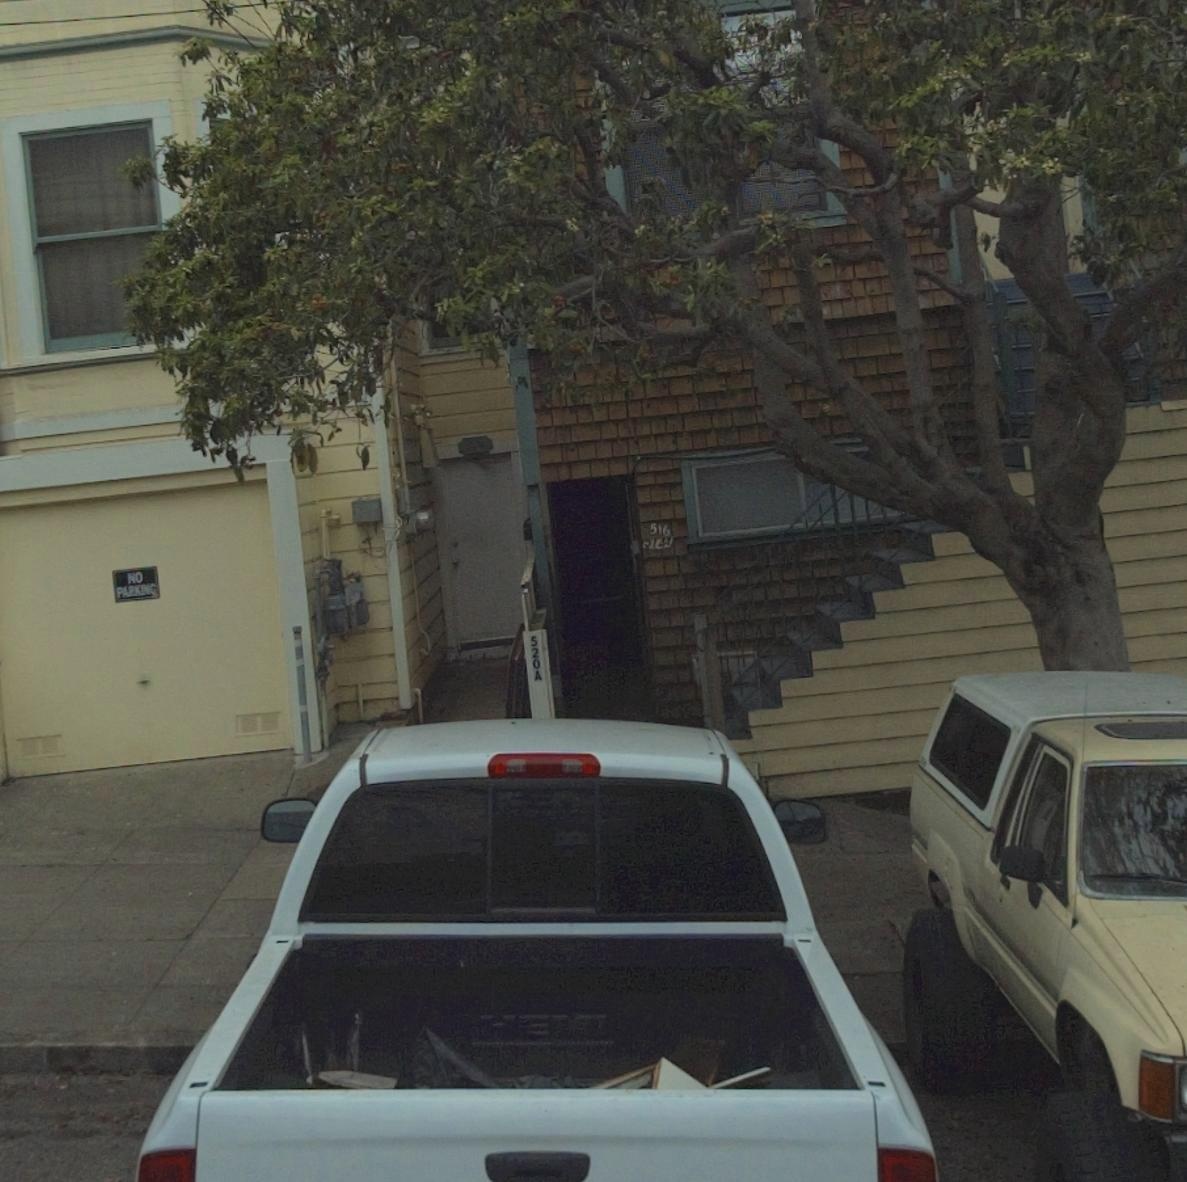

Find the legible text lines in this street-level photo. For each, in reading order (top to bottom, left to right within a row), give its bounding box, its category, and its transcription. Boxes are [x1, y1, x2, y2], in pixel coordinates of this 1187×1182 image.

[648, 521, 673, 537] StreetNumber: 516
[643, 536, 673, 550] StreetNumber: *14*
[126, 570, 146, 585] None: NO
[115, 582, 158, 599] None: PARKING
[528, 633, 544, 683] StreetNumber: 520A